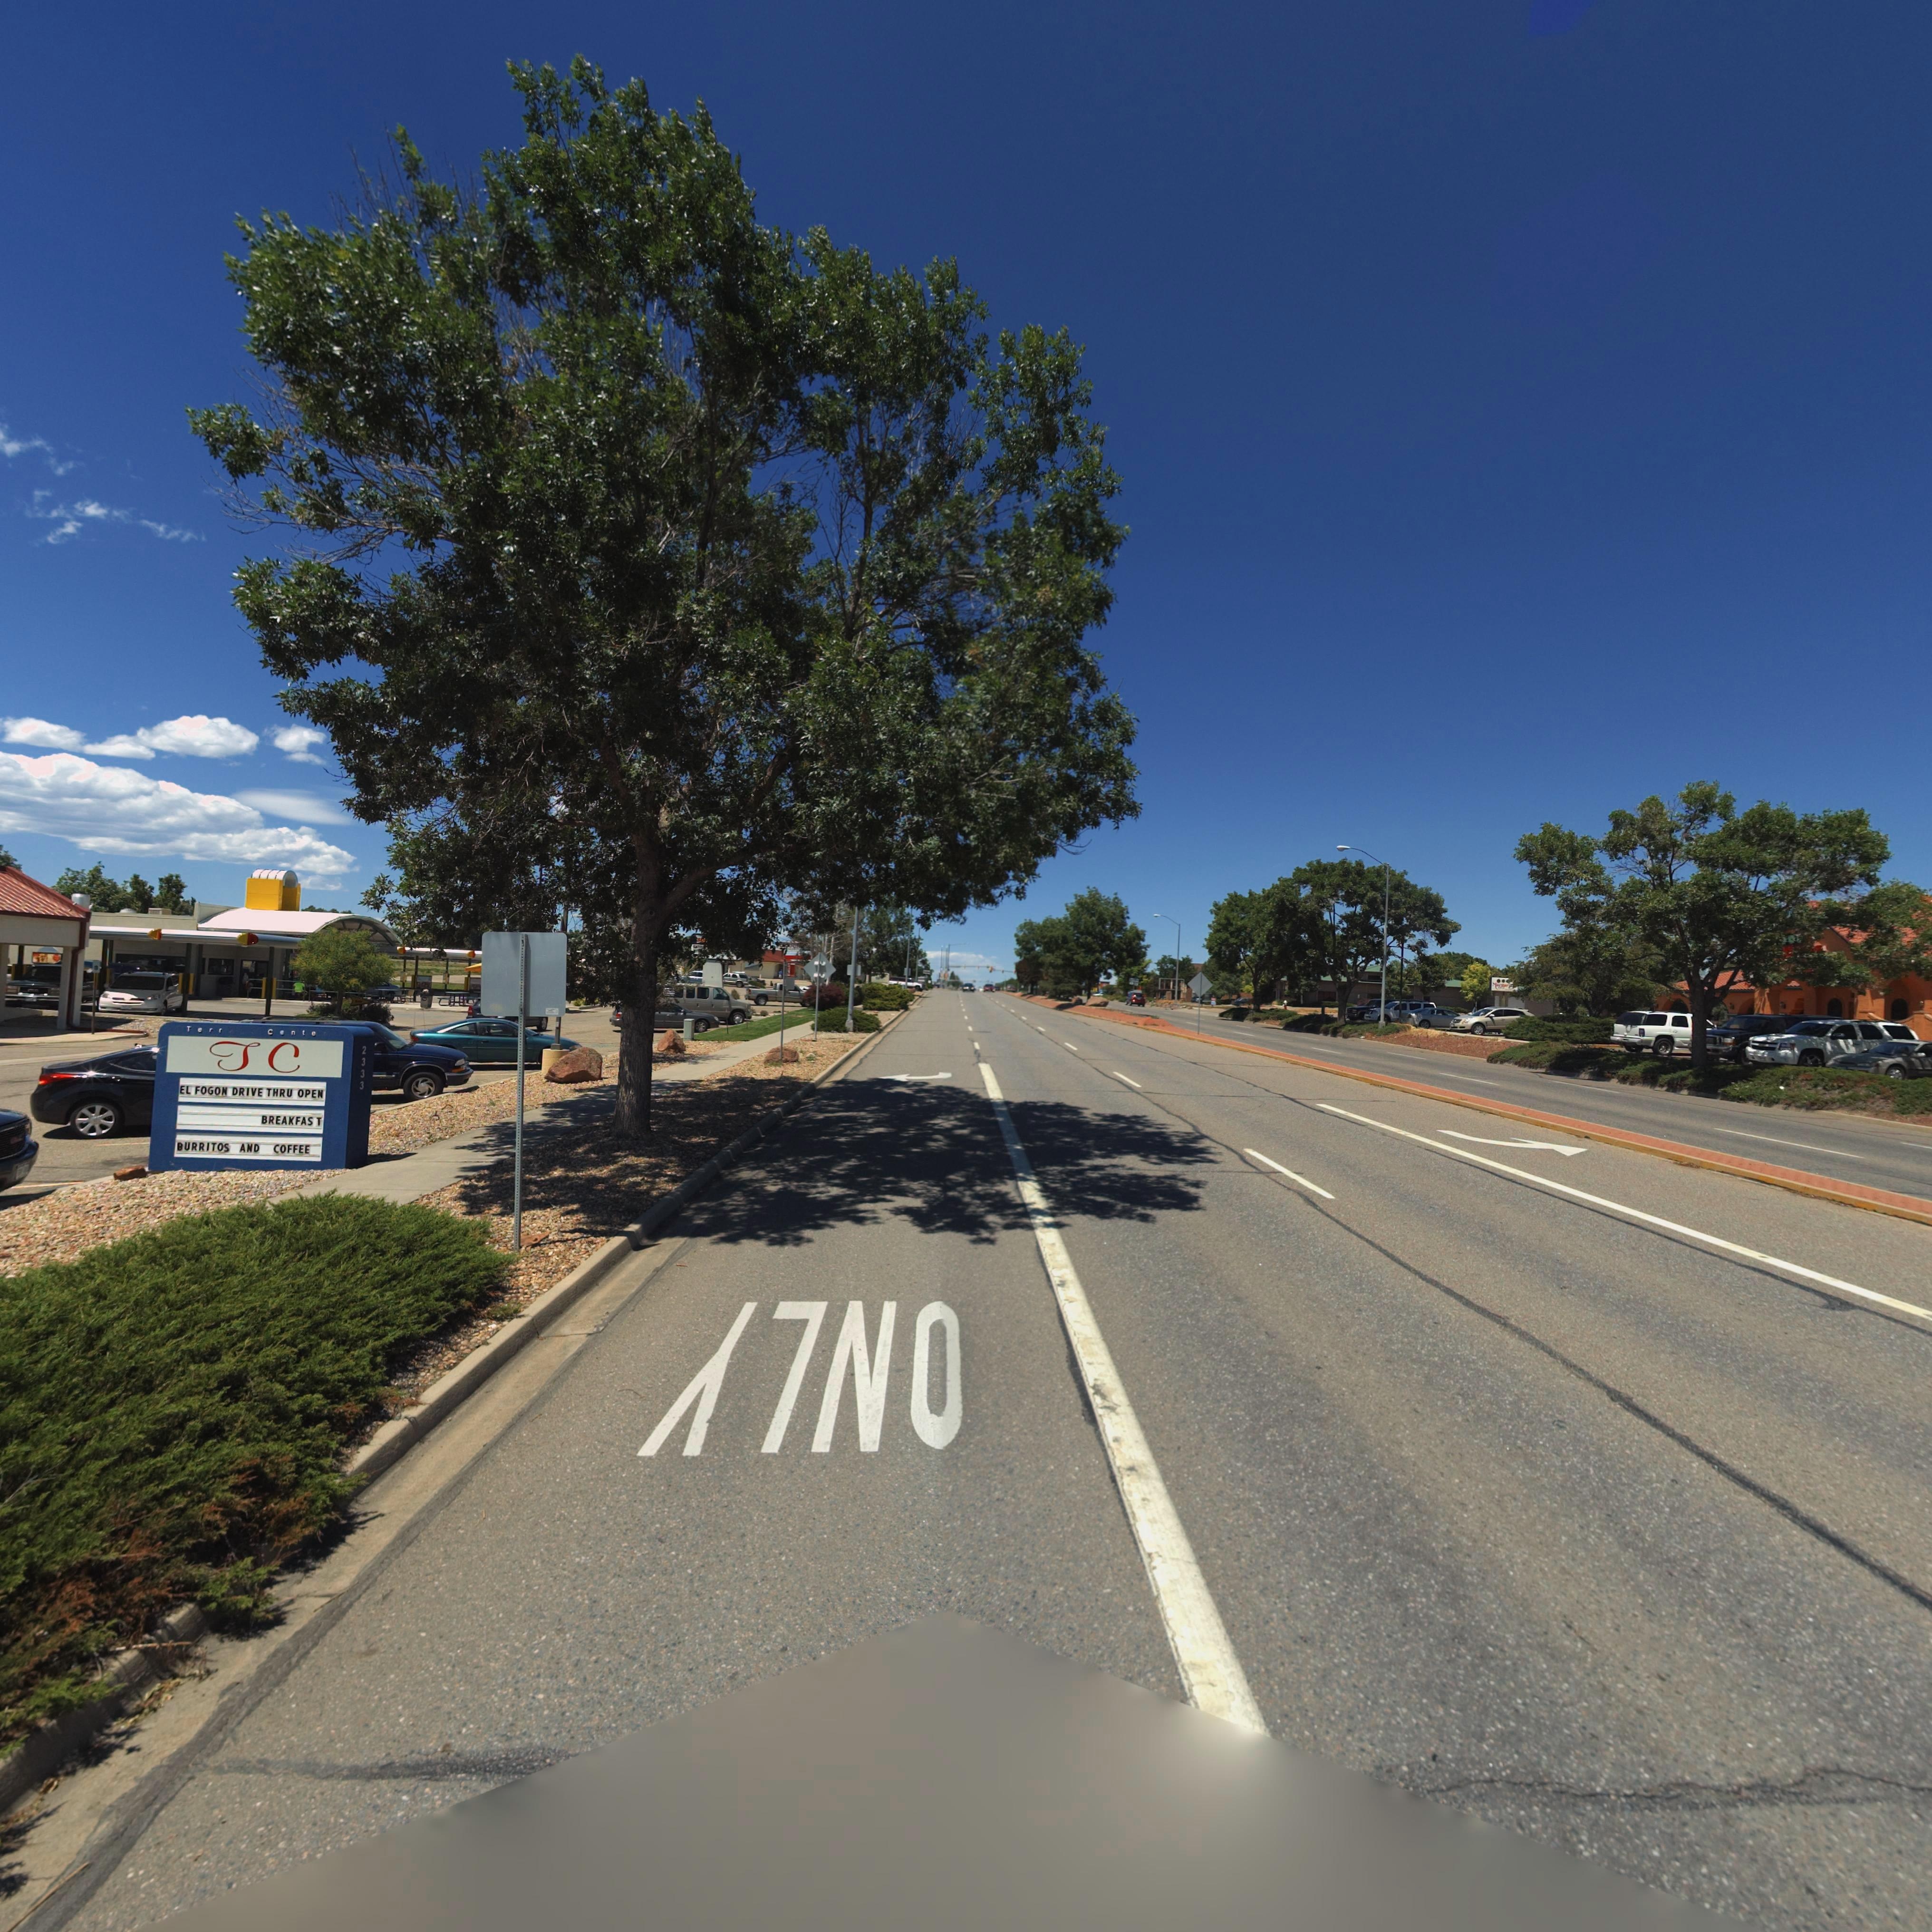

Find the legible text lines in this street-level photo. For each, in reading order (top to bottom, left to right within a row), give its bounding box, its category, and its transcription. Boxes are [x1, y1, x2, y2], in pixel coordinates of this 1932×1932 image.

[1492, 981, 1512, 990] BusinessName: M*********
[207, 1038, 302, 1074] BusinessName: JC
[358, 1044, 368, 1090] StreetNumber: 2333